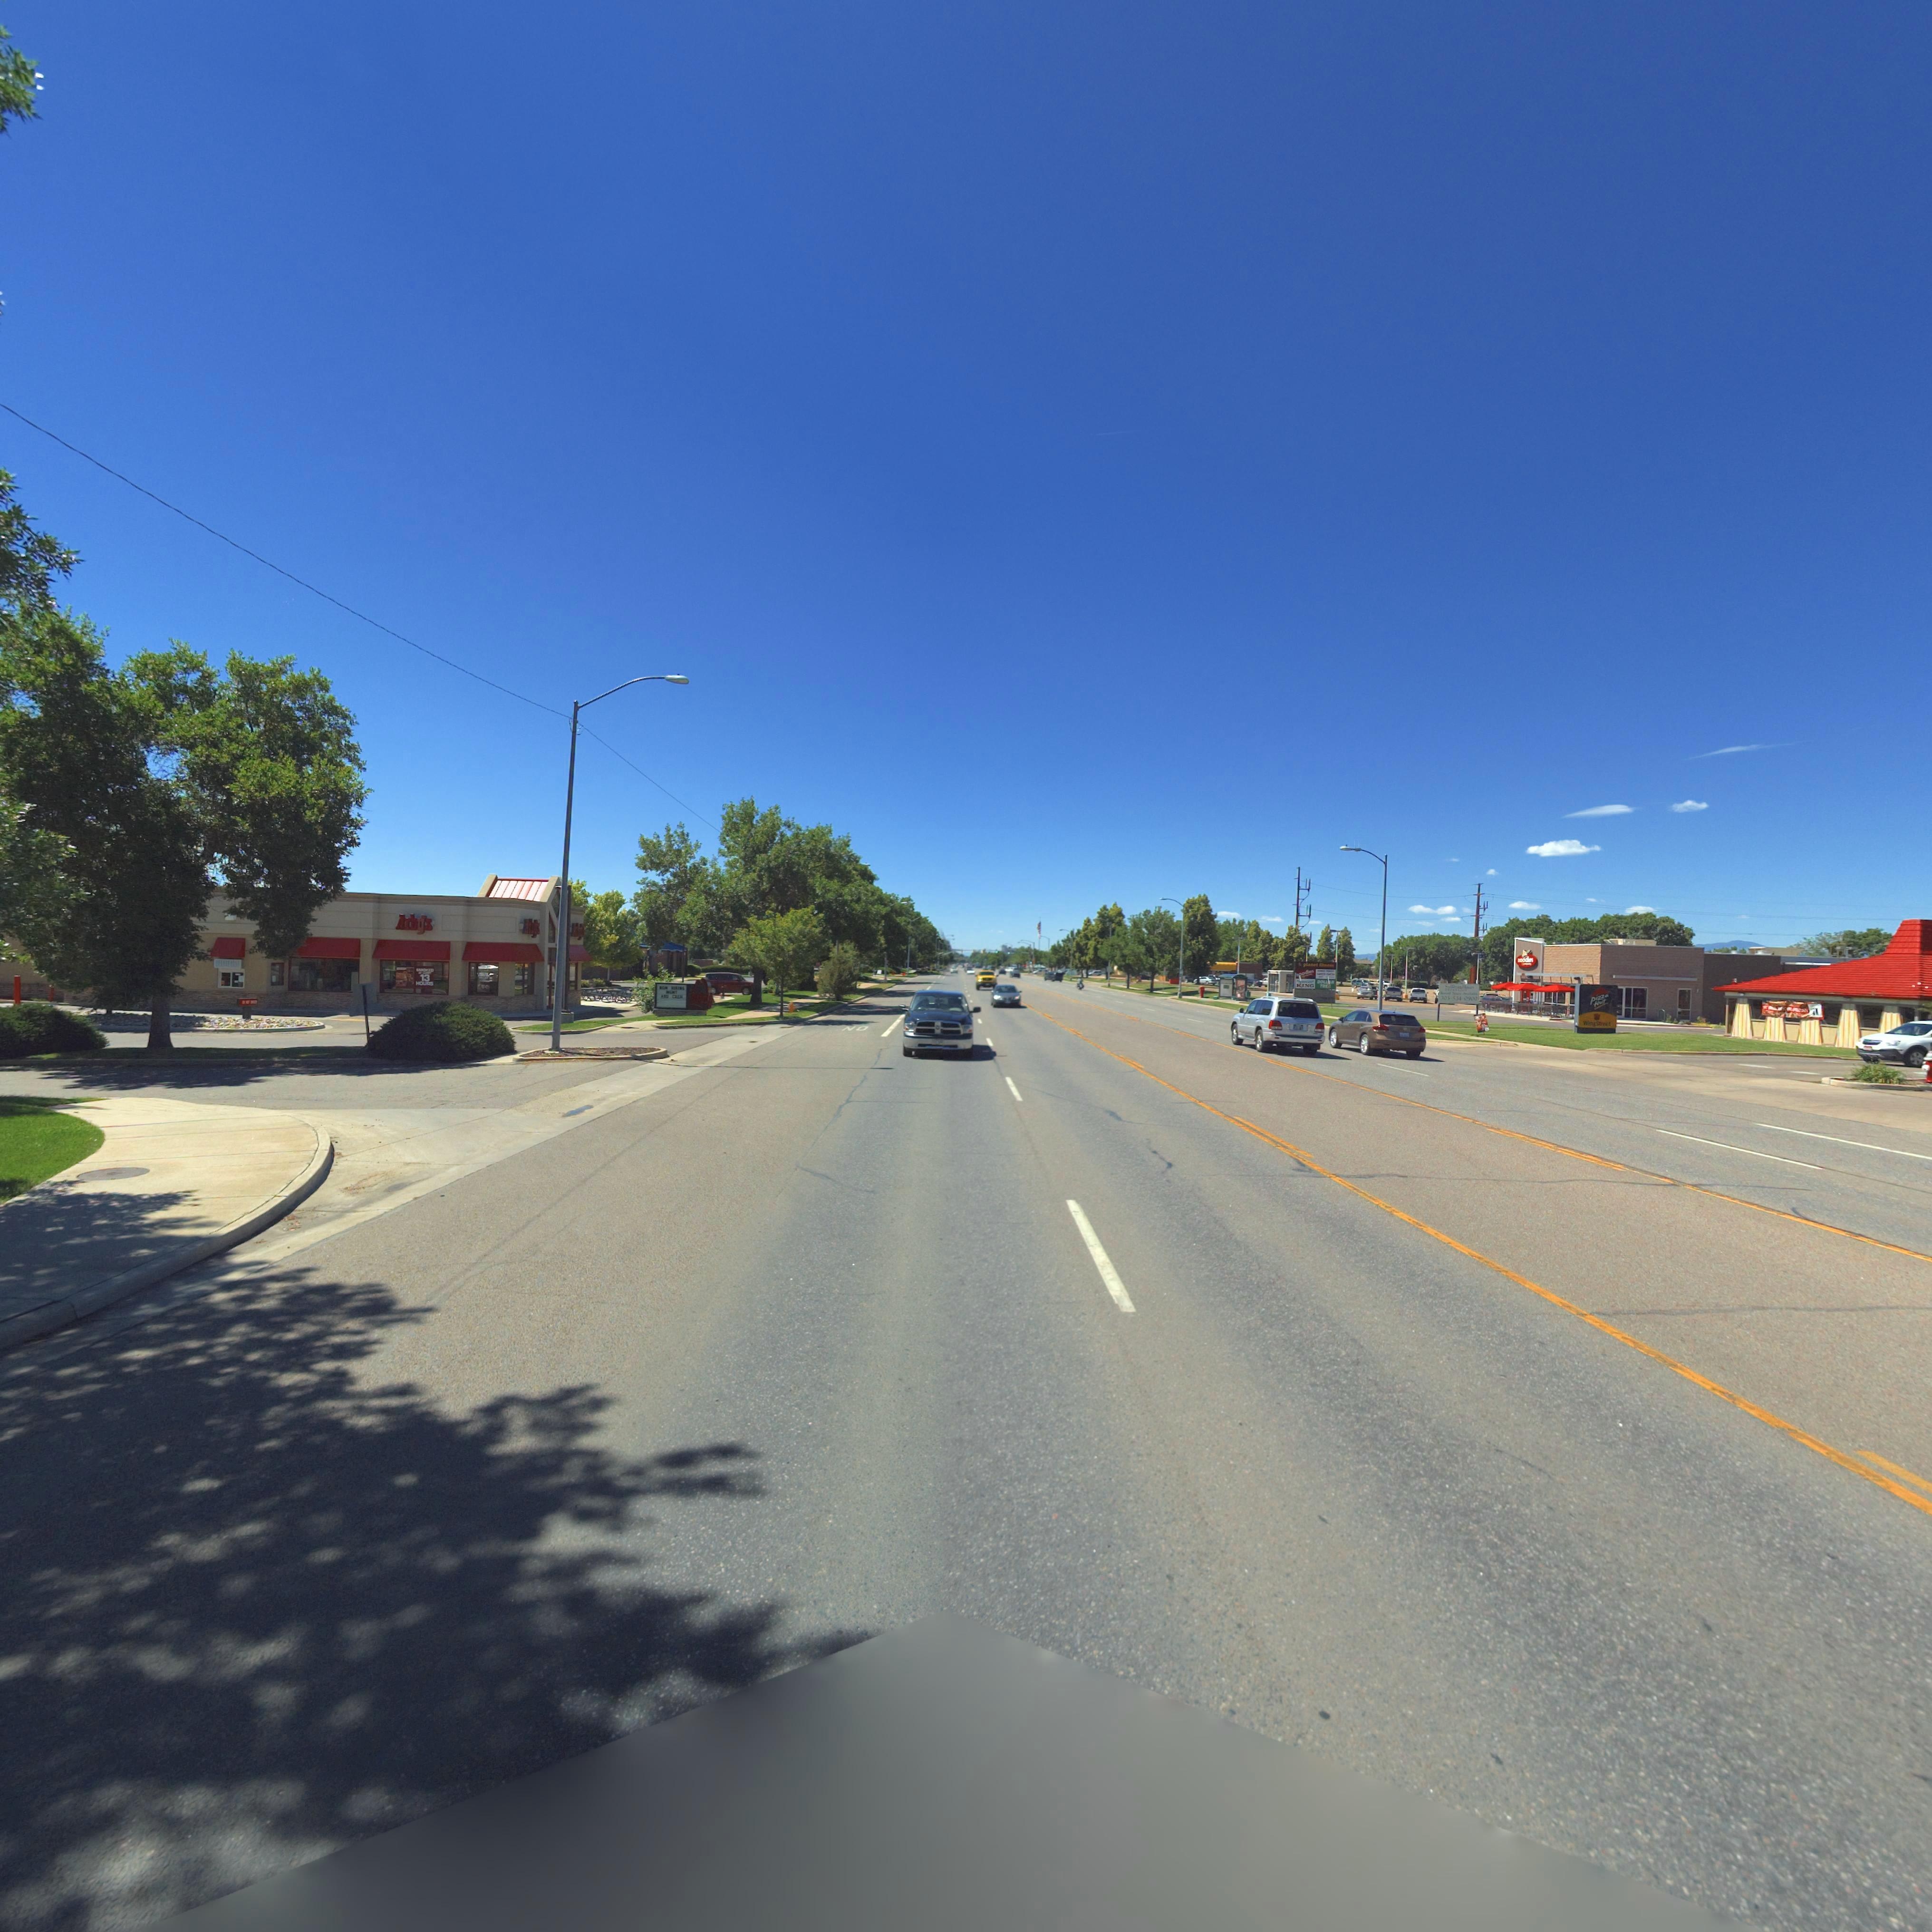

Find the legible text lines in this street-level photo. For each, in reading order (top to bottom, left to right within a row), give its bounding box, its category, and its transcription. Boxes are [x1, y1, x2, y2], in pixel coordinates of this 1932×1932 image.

[395, 913, 433, 935] BusinessName: Arby's
[522, 918, 540, 938] BusinessName: Arb*'s
[570, 922, 584, 941] BusinessName: A***'*
[1517, 955, 1533, 962] BusinessName: nood**s
[1303, 962, 1334, 967] BusinessName: pla*** ****ess
[1296, 969, 1314, 977] BusinessName: nood*es
[1296, 983, 1314, 987] BusinessName: KING
[1320, 984, 1331, 988] BusinessName: TR**
[1317, 979, 1334, 984] BusinessName: DOLL*R
[1589, 993, 1609, 1005] BusinessName: Pizza
[1593, 998, 1606, 1007] BusinessName: Hut
[1583, 1020, 1611, 1027] BusinessName: W**gSt***t